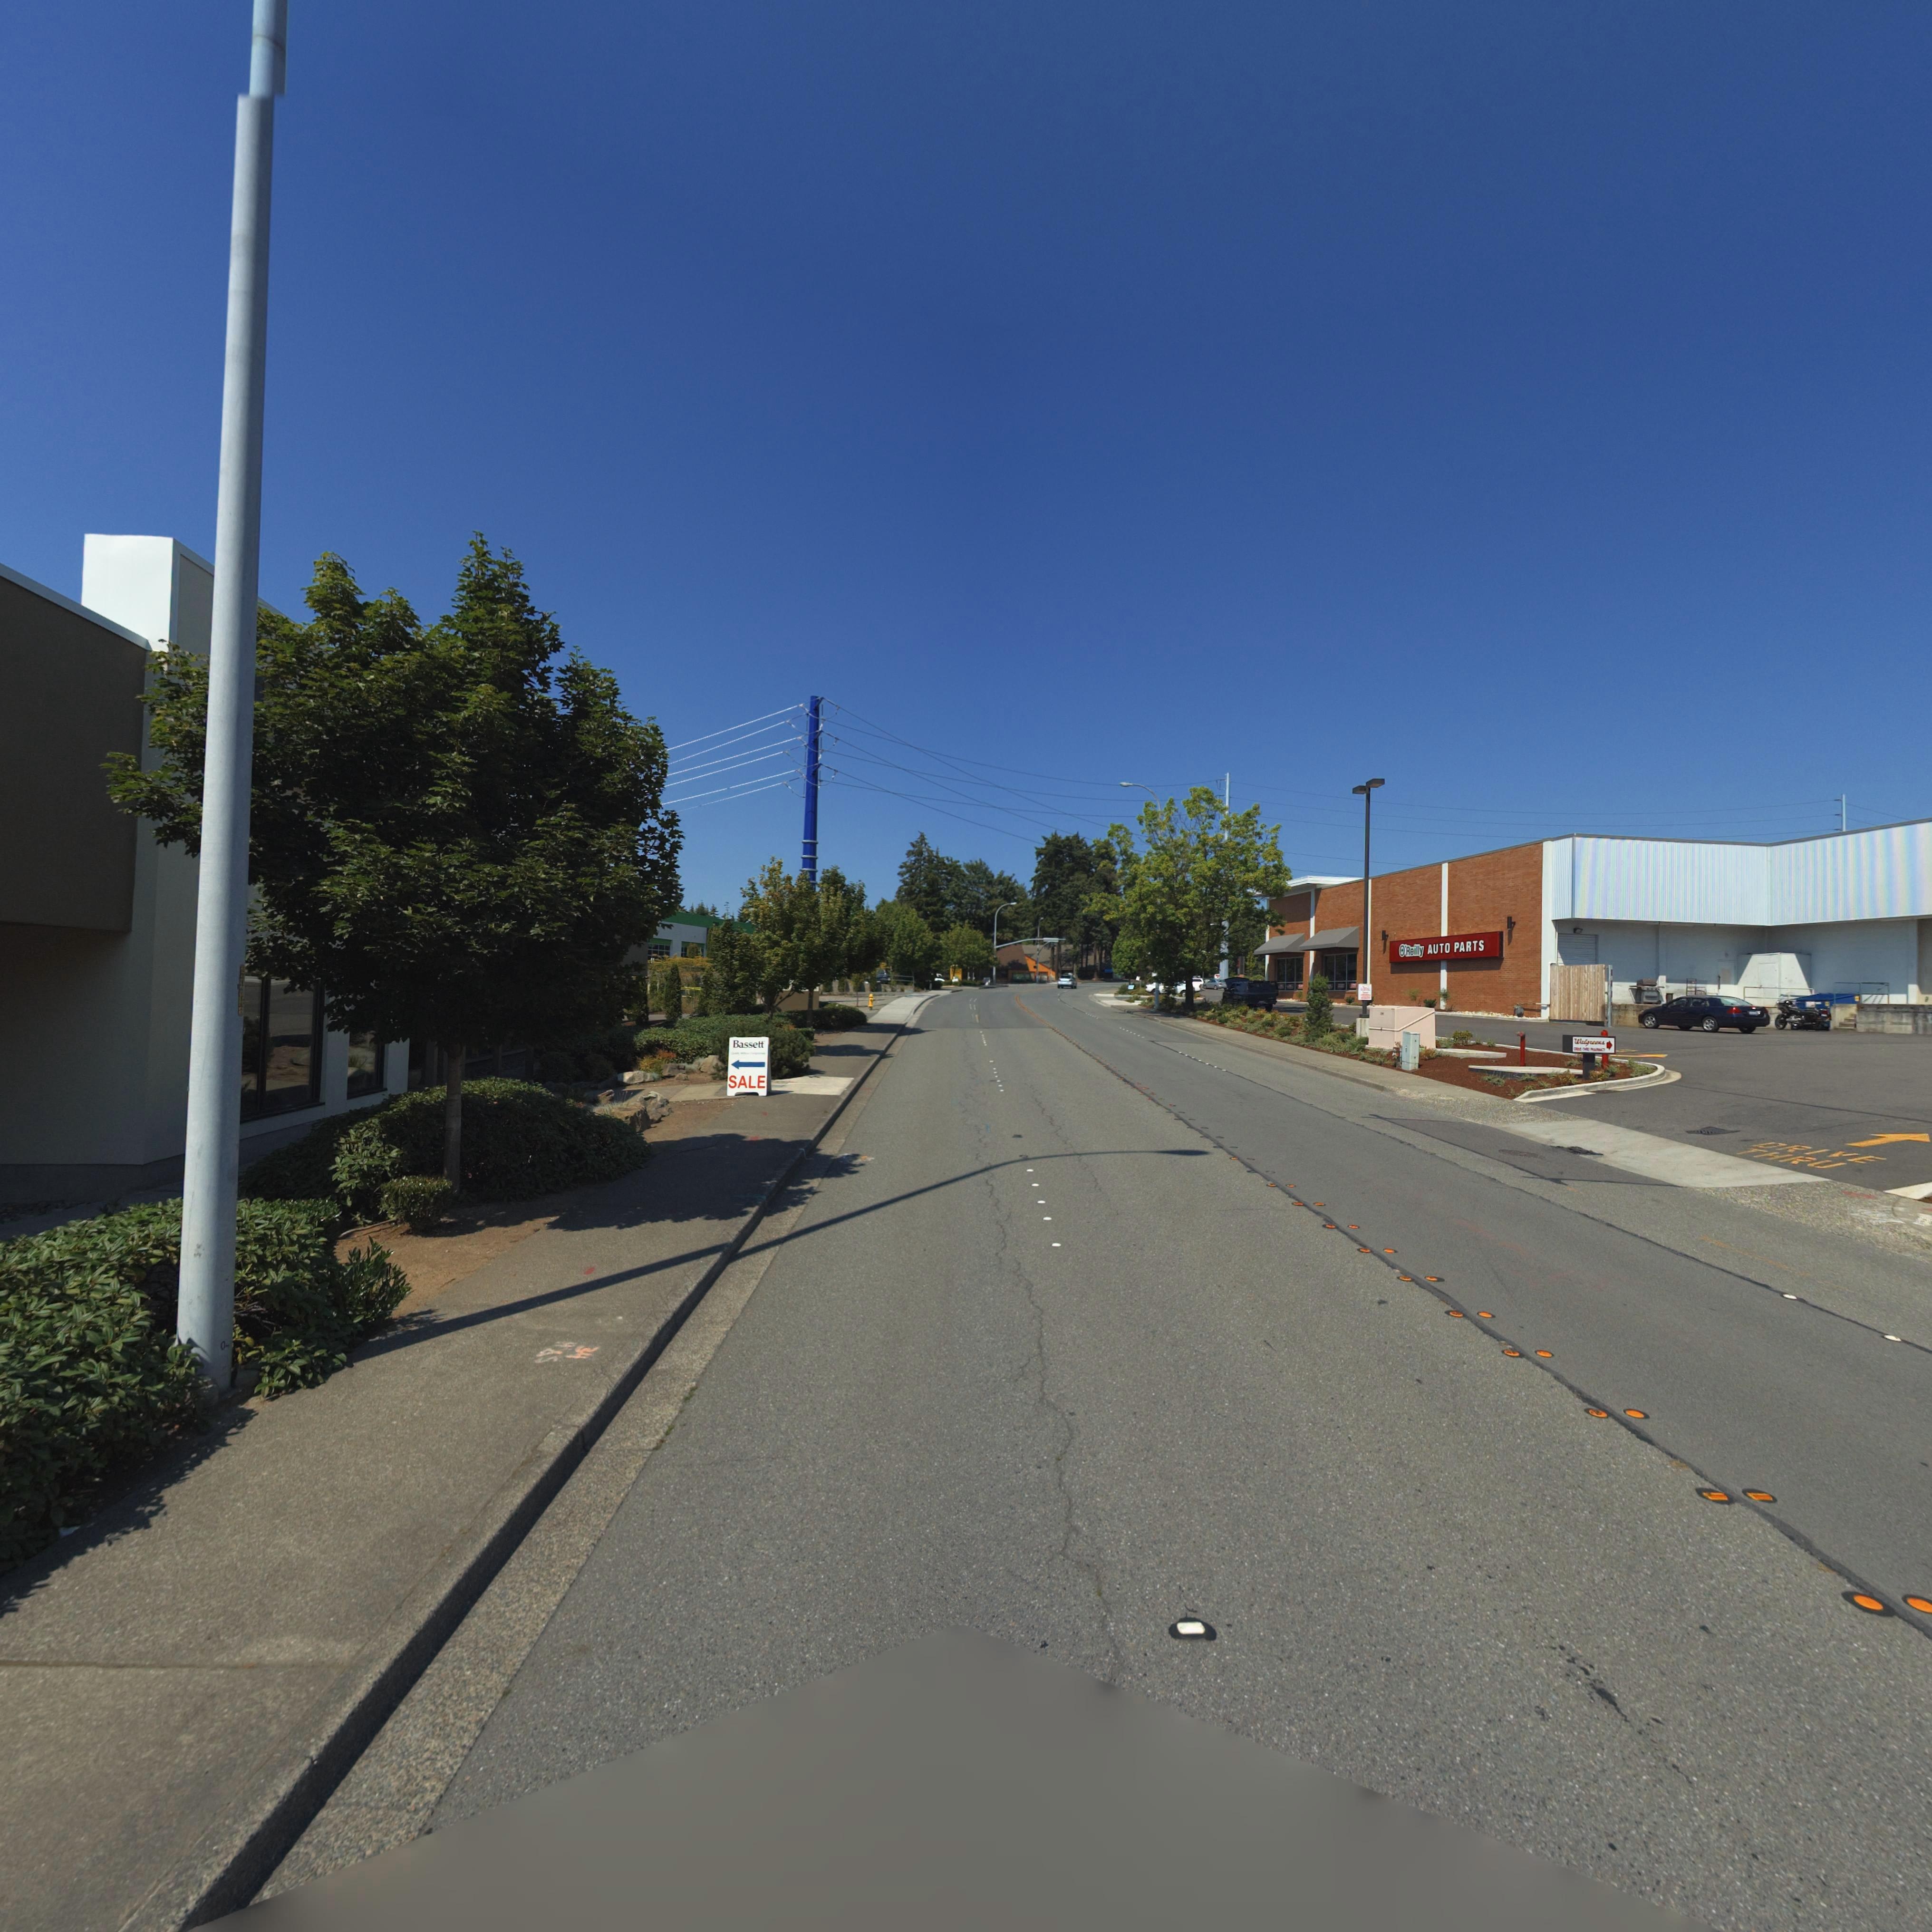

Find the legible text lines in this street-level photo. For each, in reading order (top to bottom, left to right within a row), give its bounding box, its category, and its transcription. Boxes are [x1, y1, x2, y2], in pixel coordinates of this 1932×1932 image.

[1399, 944, 1424, 957] BusinessName: *Reilly
[1427, 940, 1484, 953] BusinessName: AUTO PARTS
[734, 1040, 763, 1048] BusinessName: Bassett
[1573, 1037, 1605, 1047] BusinessName: W*lgreens